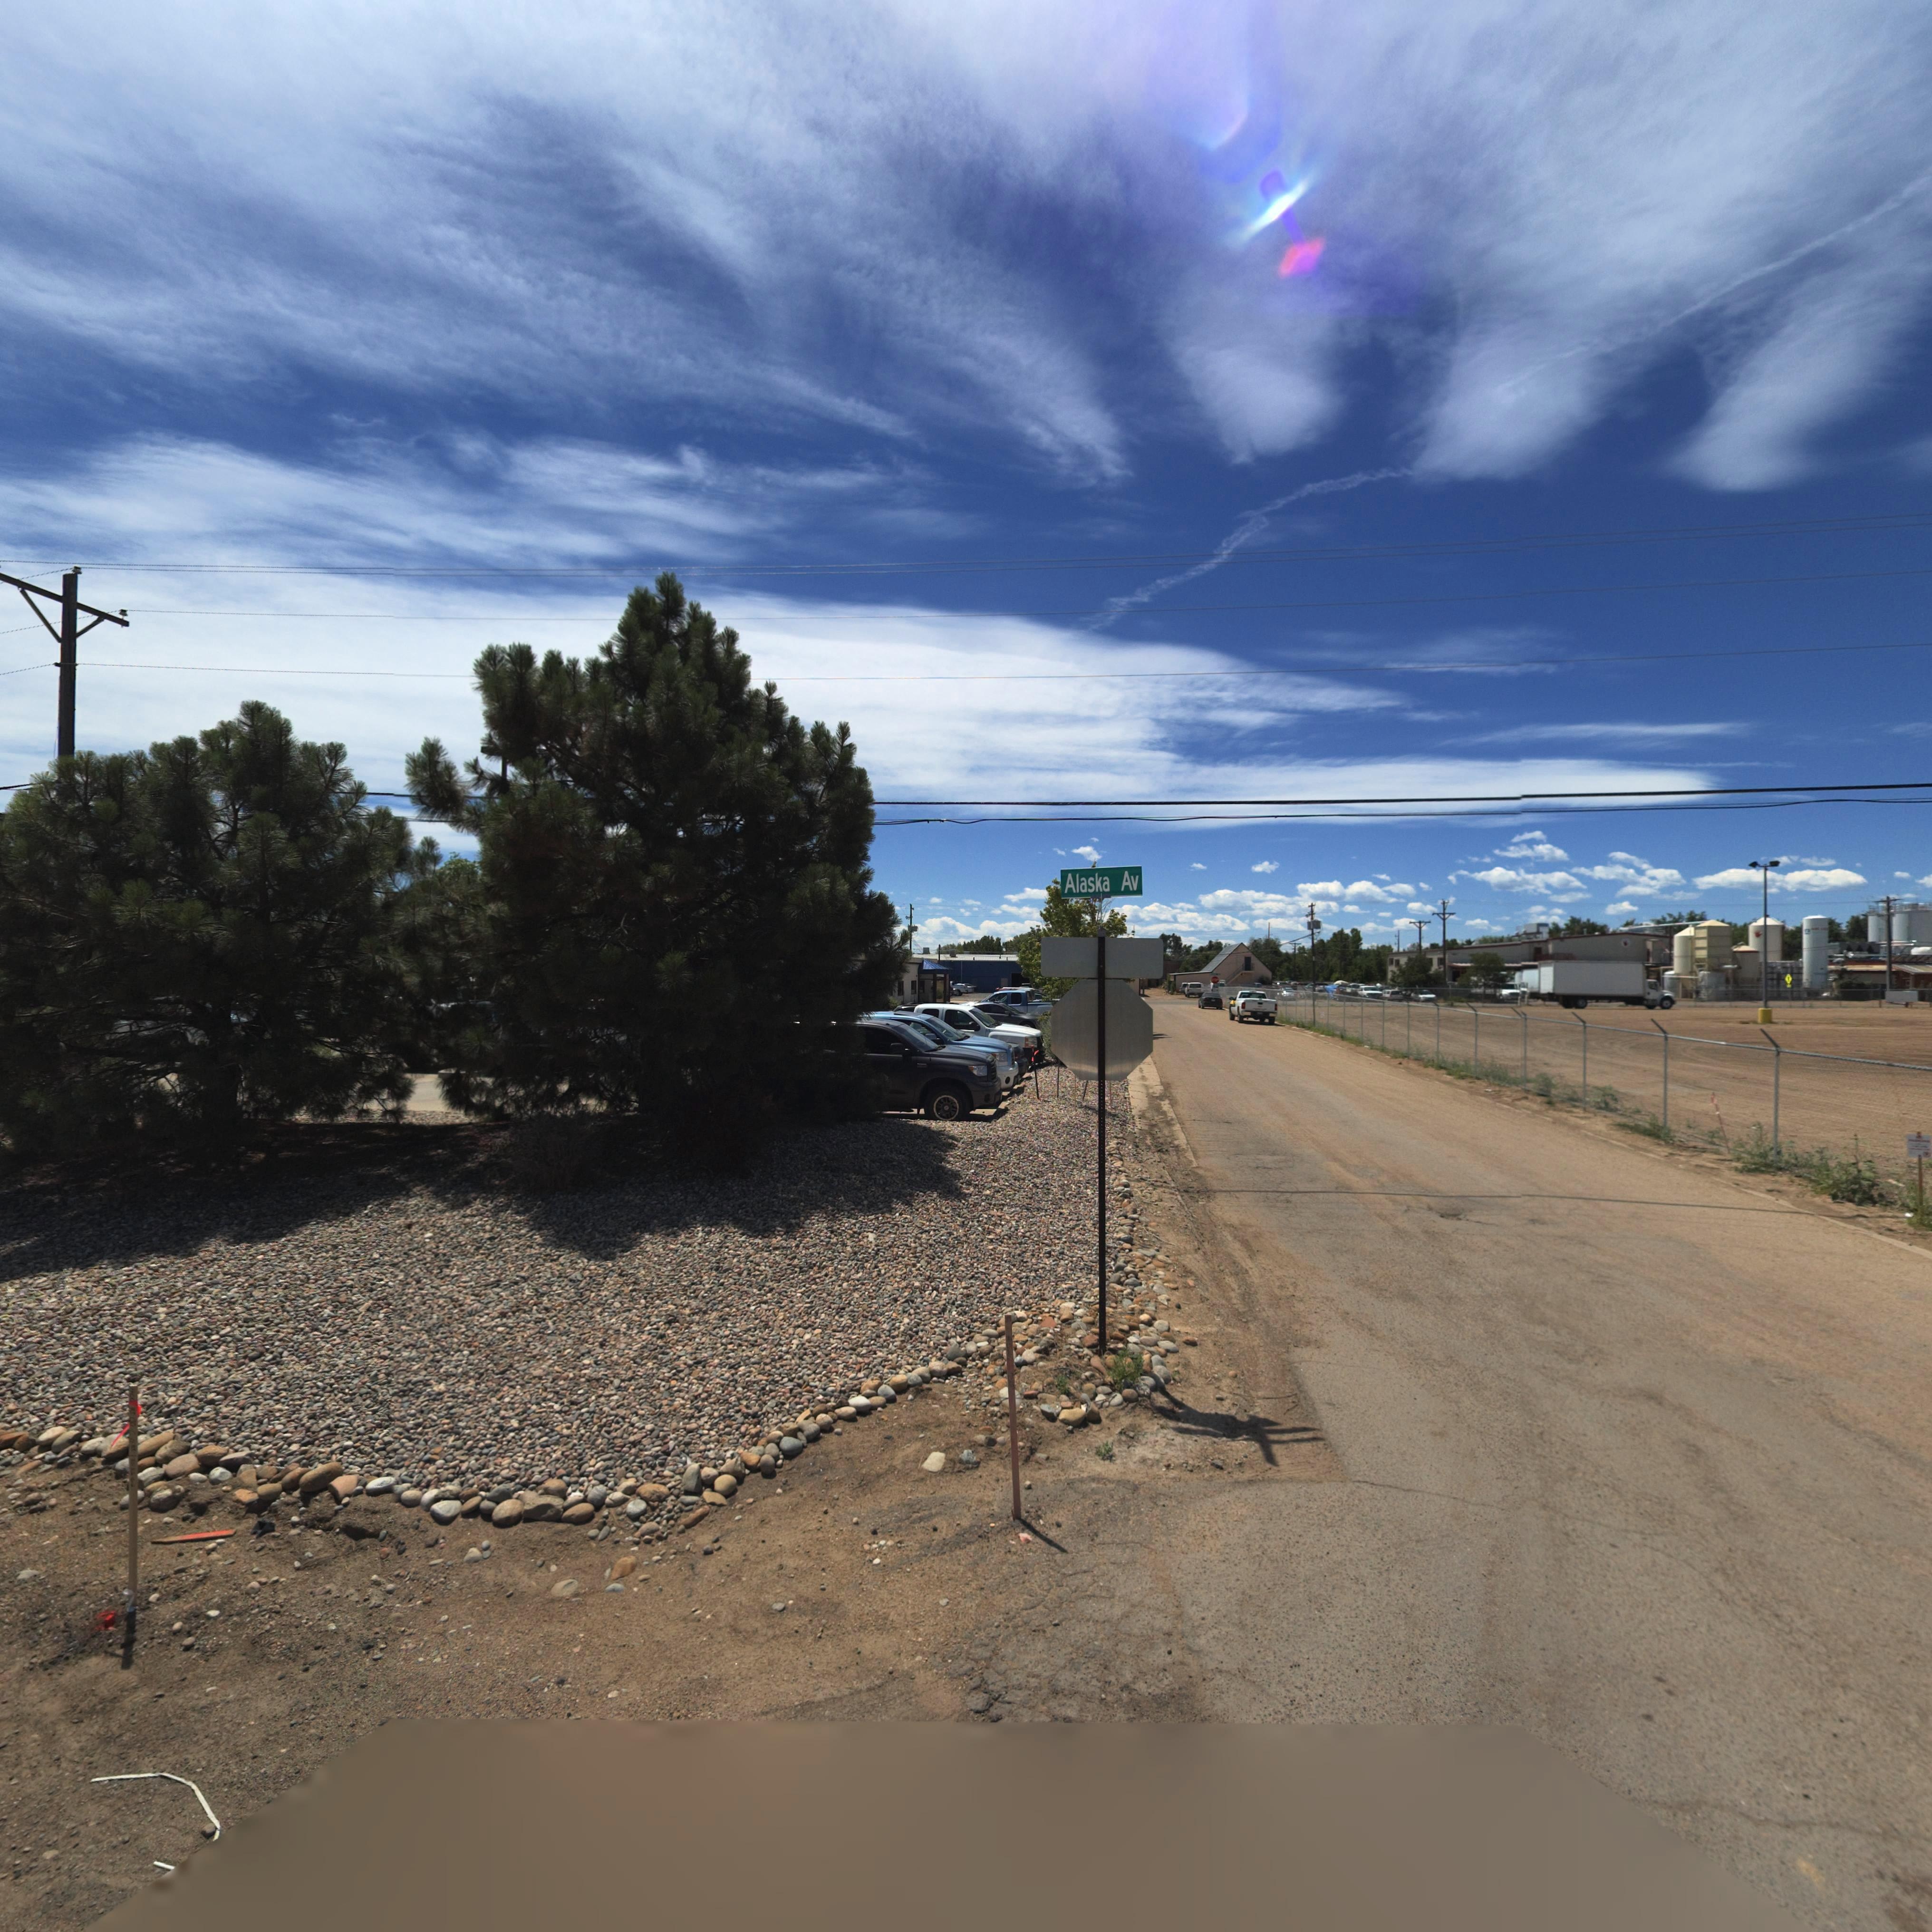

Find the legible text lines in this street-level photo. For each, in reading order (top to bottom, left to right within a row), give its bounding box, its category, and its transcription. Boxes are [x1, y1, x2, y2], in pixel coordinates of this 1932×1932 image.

[1063, 869, 1140, 894] StreetName: Alaska Av